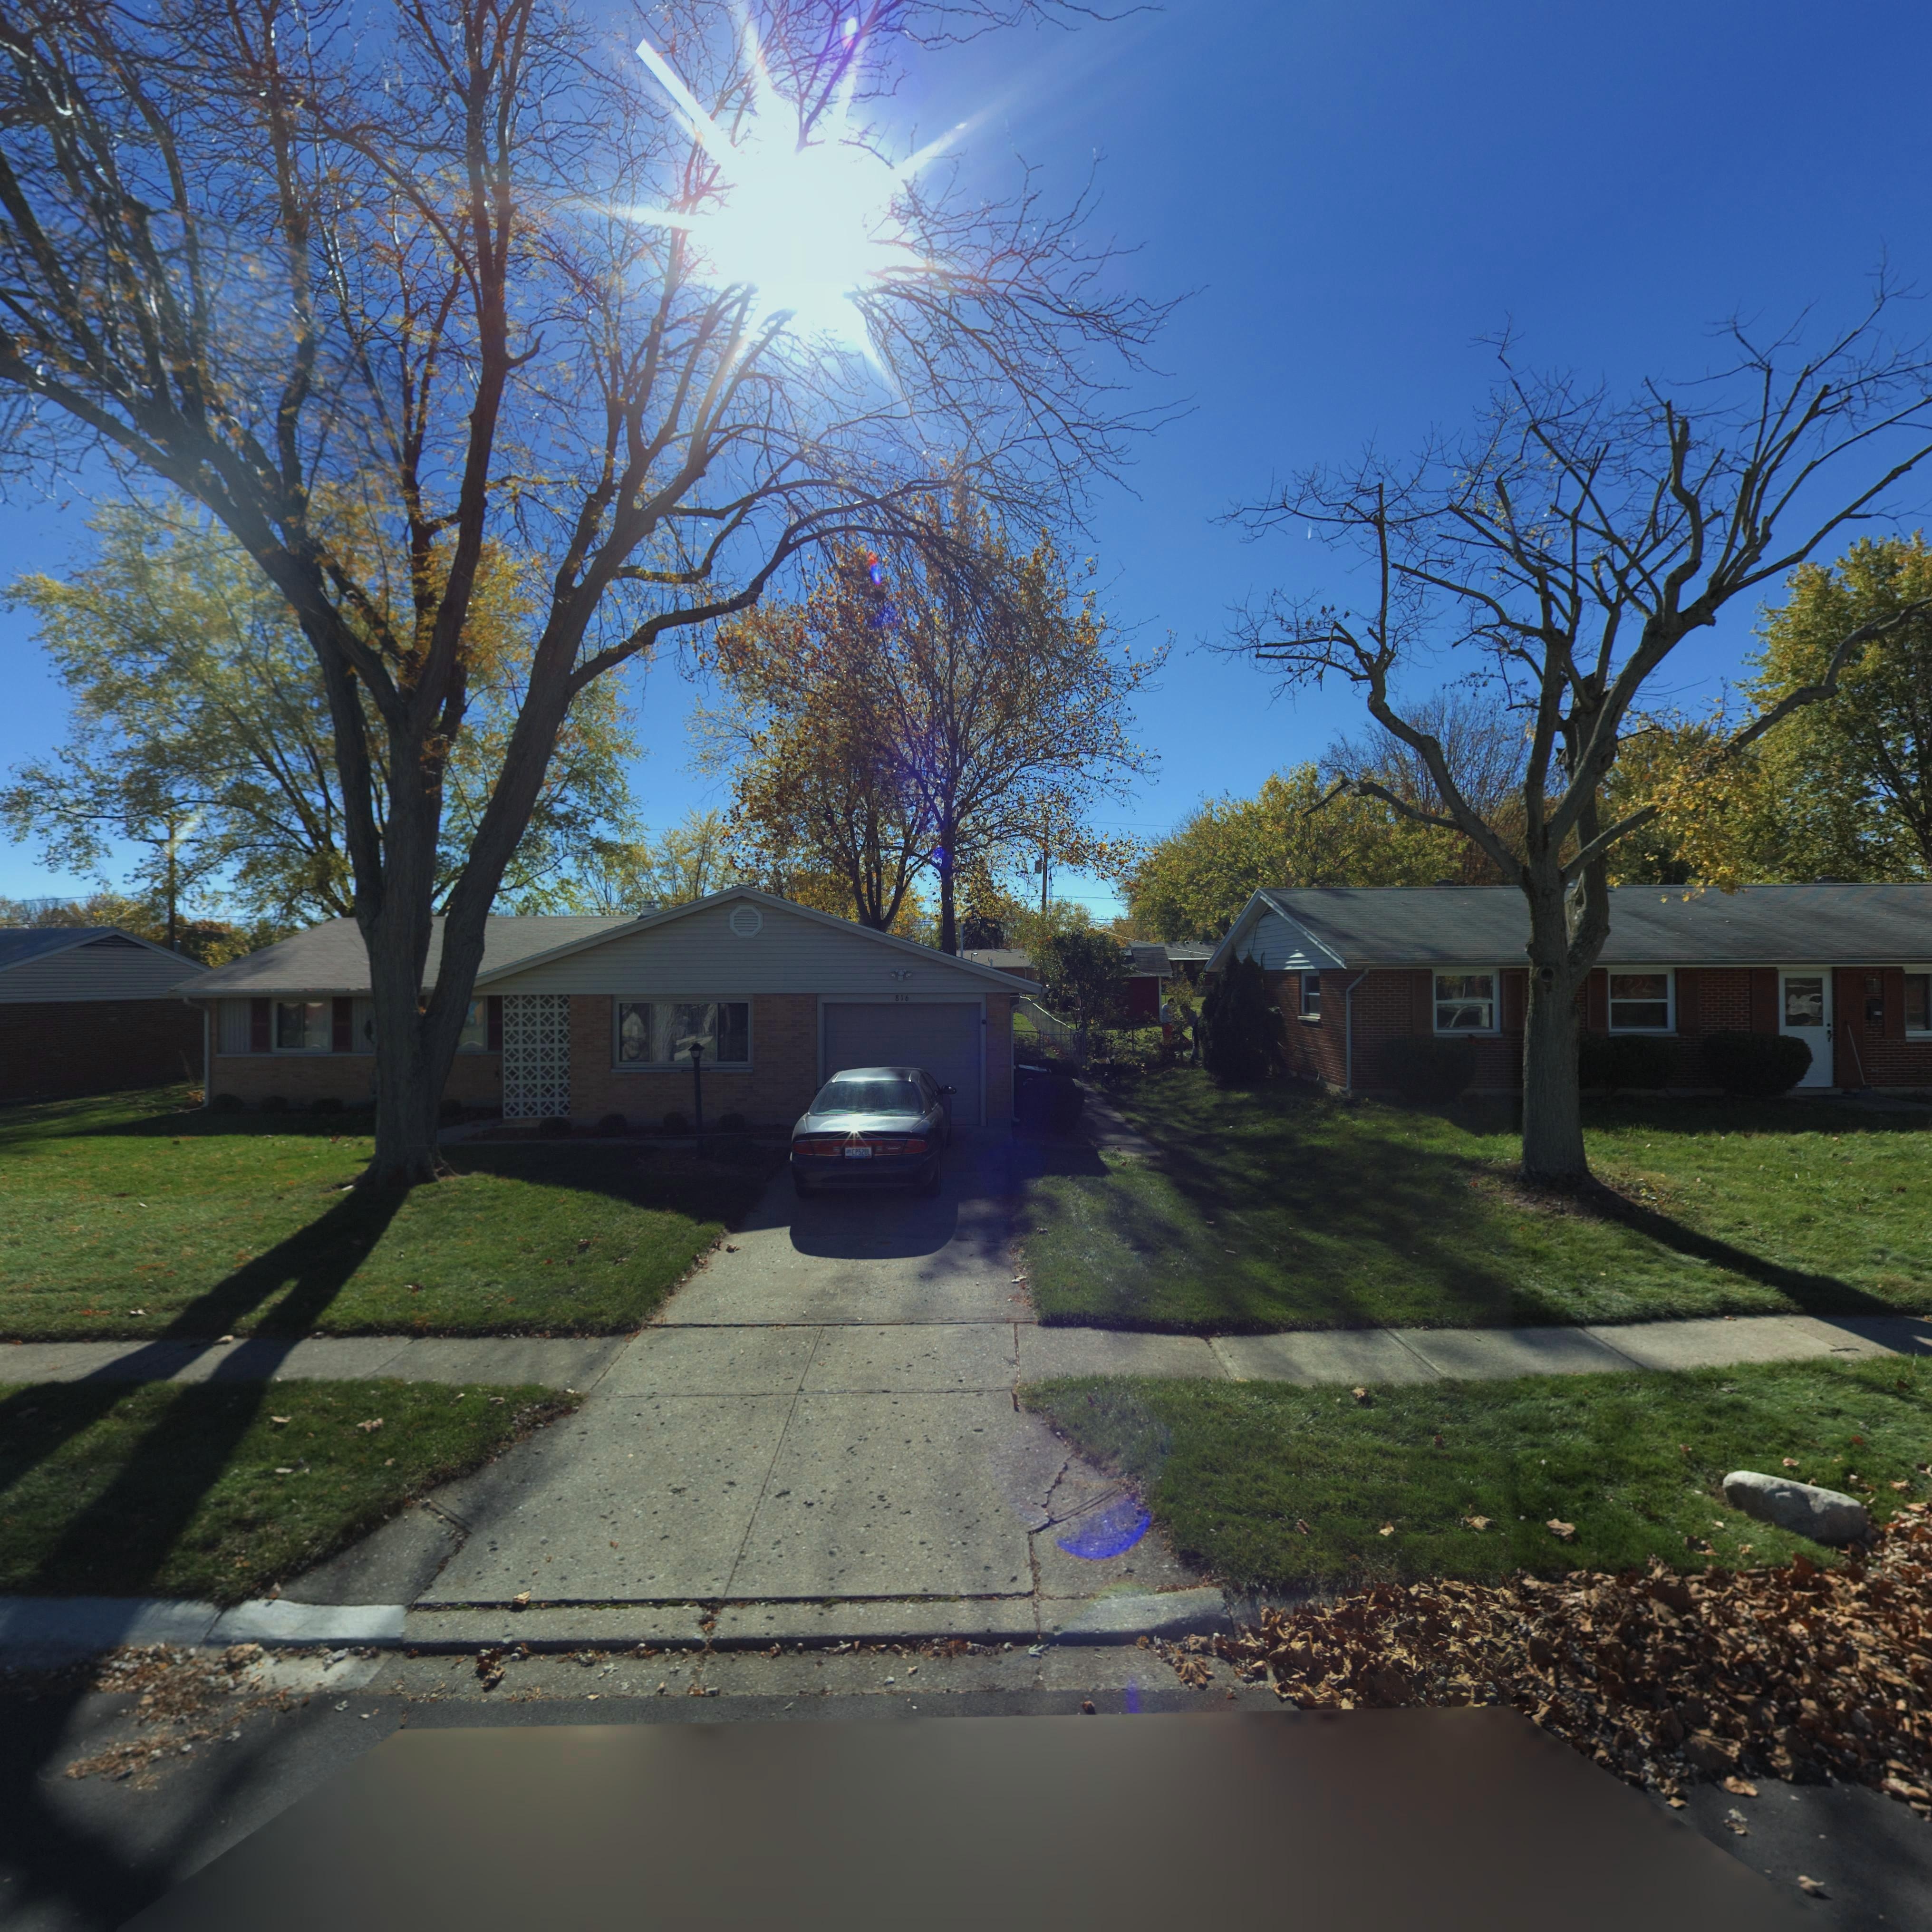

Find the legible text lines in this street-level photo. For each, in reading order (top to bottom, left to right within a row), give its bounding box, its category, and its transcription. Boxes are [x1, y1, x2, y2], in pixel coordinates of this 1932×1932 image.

[895, 994, 909, 1002] StreetNumber: 816